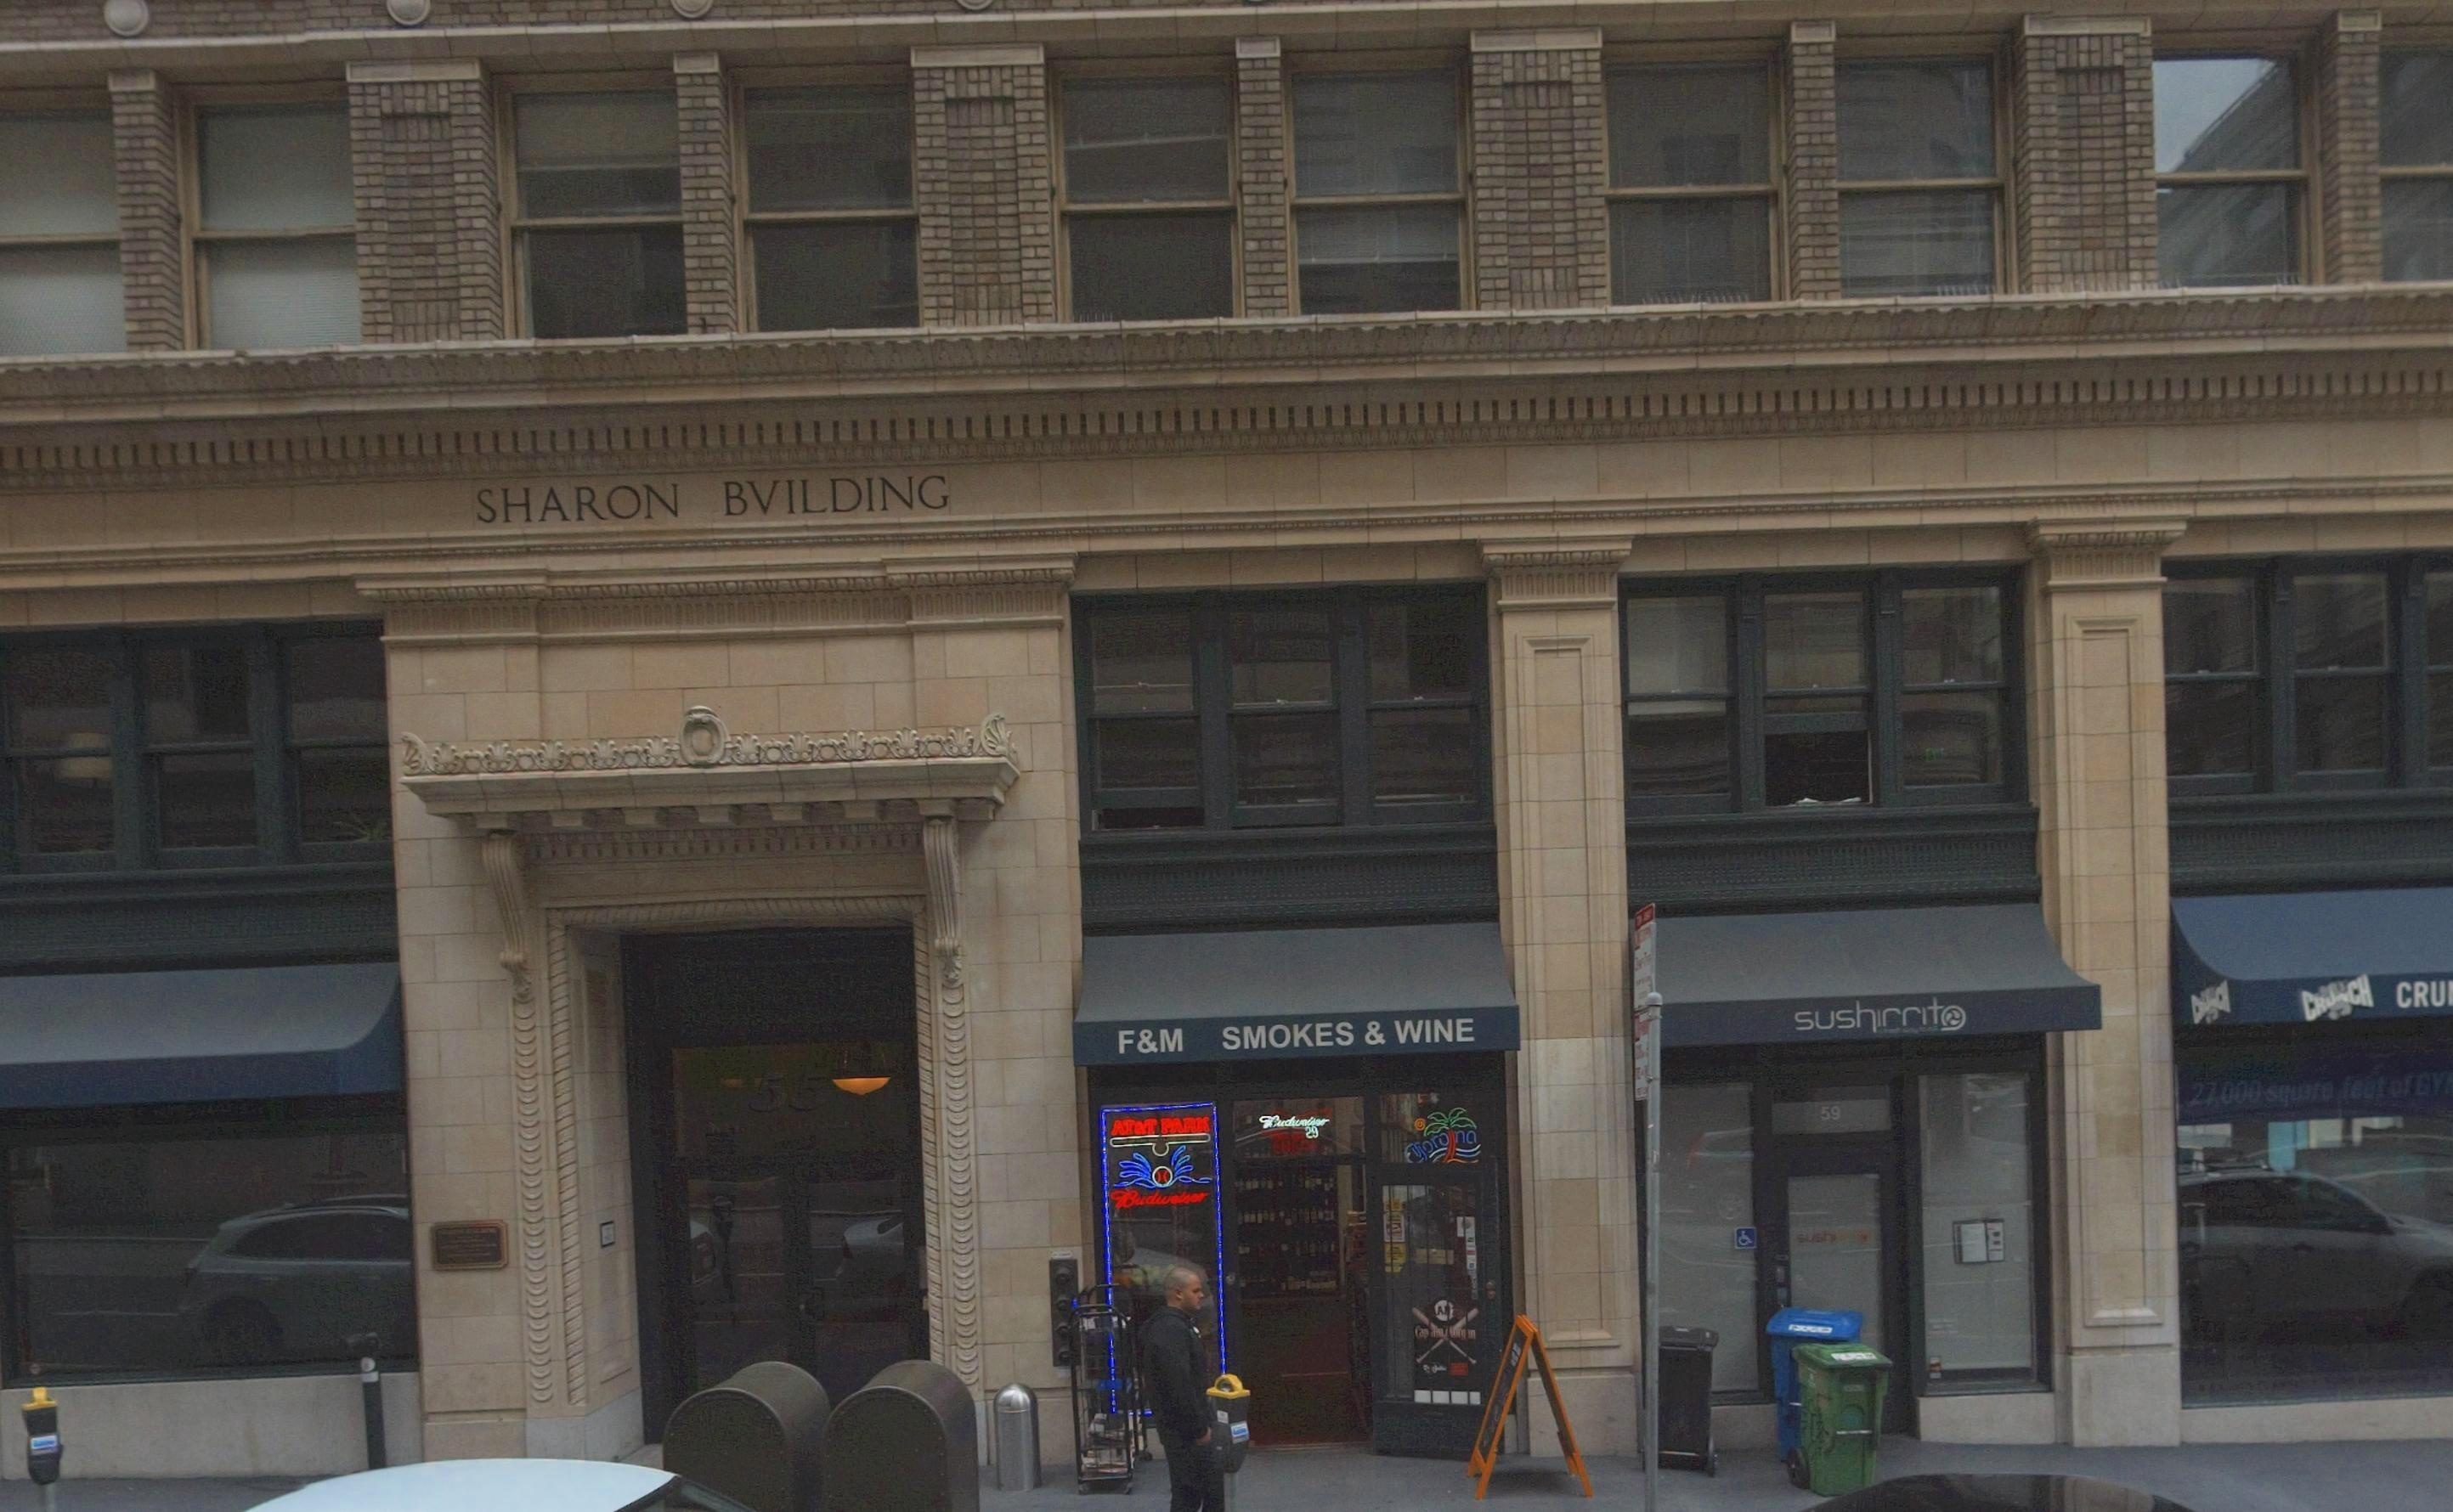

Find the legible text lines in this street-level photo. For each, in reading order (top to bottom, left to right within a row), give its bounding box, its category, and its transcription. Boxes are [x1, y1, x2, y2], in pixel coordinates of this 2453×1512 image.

[472, 471, 953, 527] None: SHARON BVILDING
[2393, 977, 2450, 1012] BusinessName: CRU
[1789, 995, 1969, 1035] BusinessName: sushirrito
[1114, 1013, 1478, 1058] BusinessName: F&M SMOKES & WINE
[744, 1066, 832, 1117] StreetNumber: 55
[2182, 1065, 2452, 1114] None: 27,000 square feet of GY
[1107, 1113, 1213, 1139] None: AT&T PARK
[1256, 1111, 1335, 1131] None: Budweiser
[1303, 1125, 1322, 1142] None: 29
[1819, 1103, 1842, 1123] StreetNumber: 59
[1104, 1185, 1215, 1212] None: Budweiser